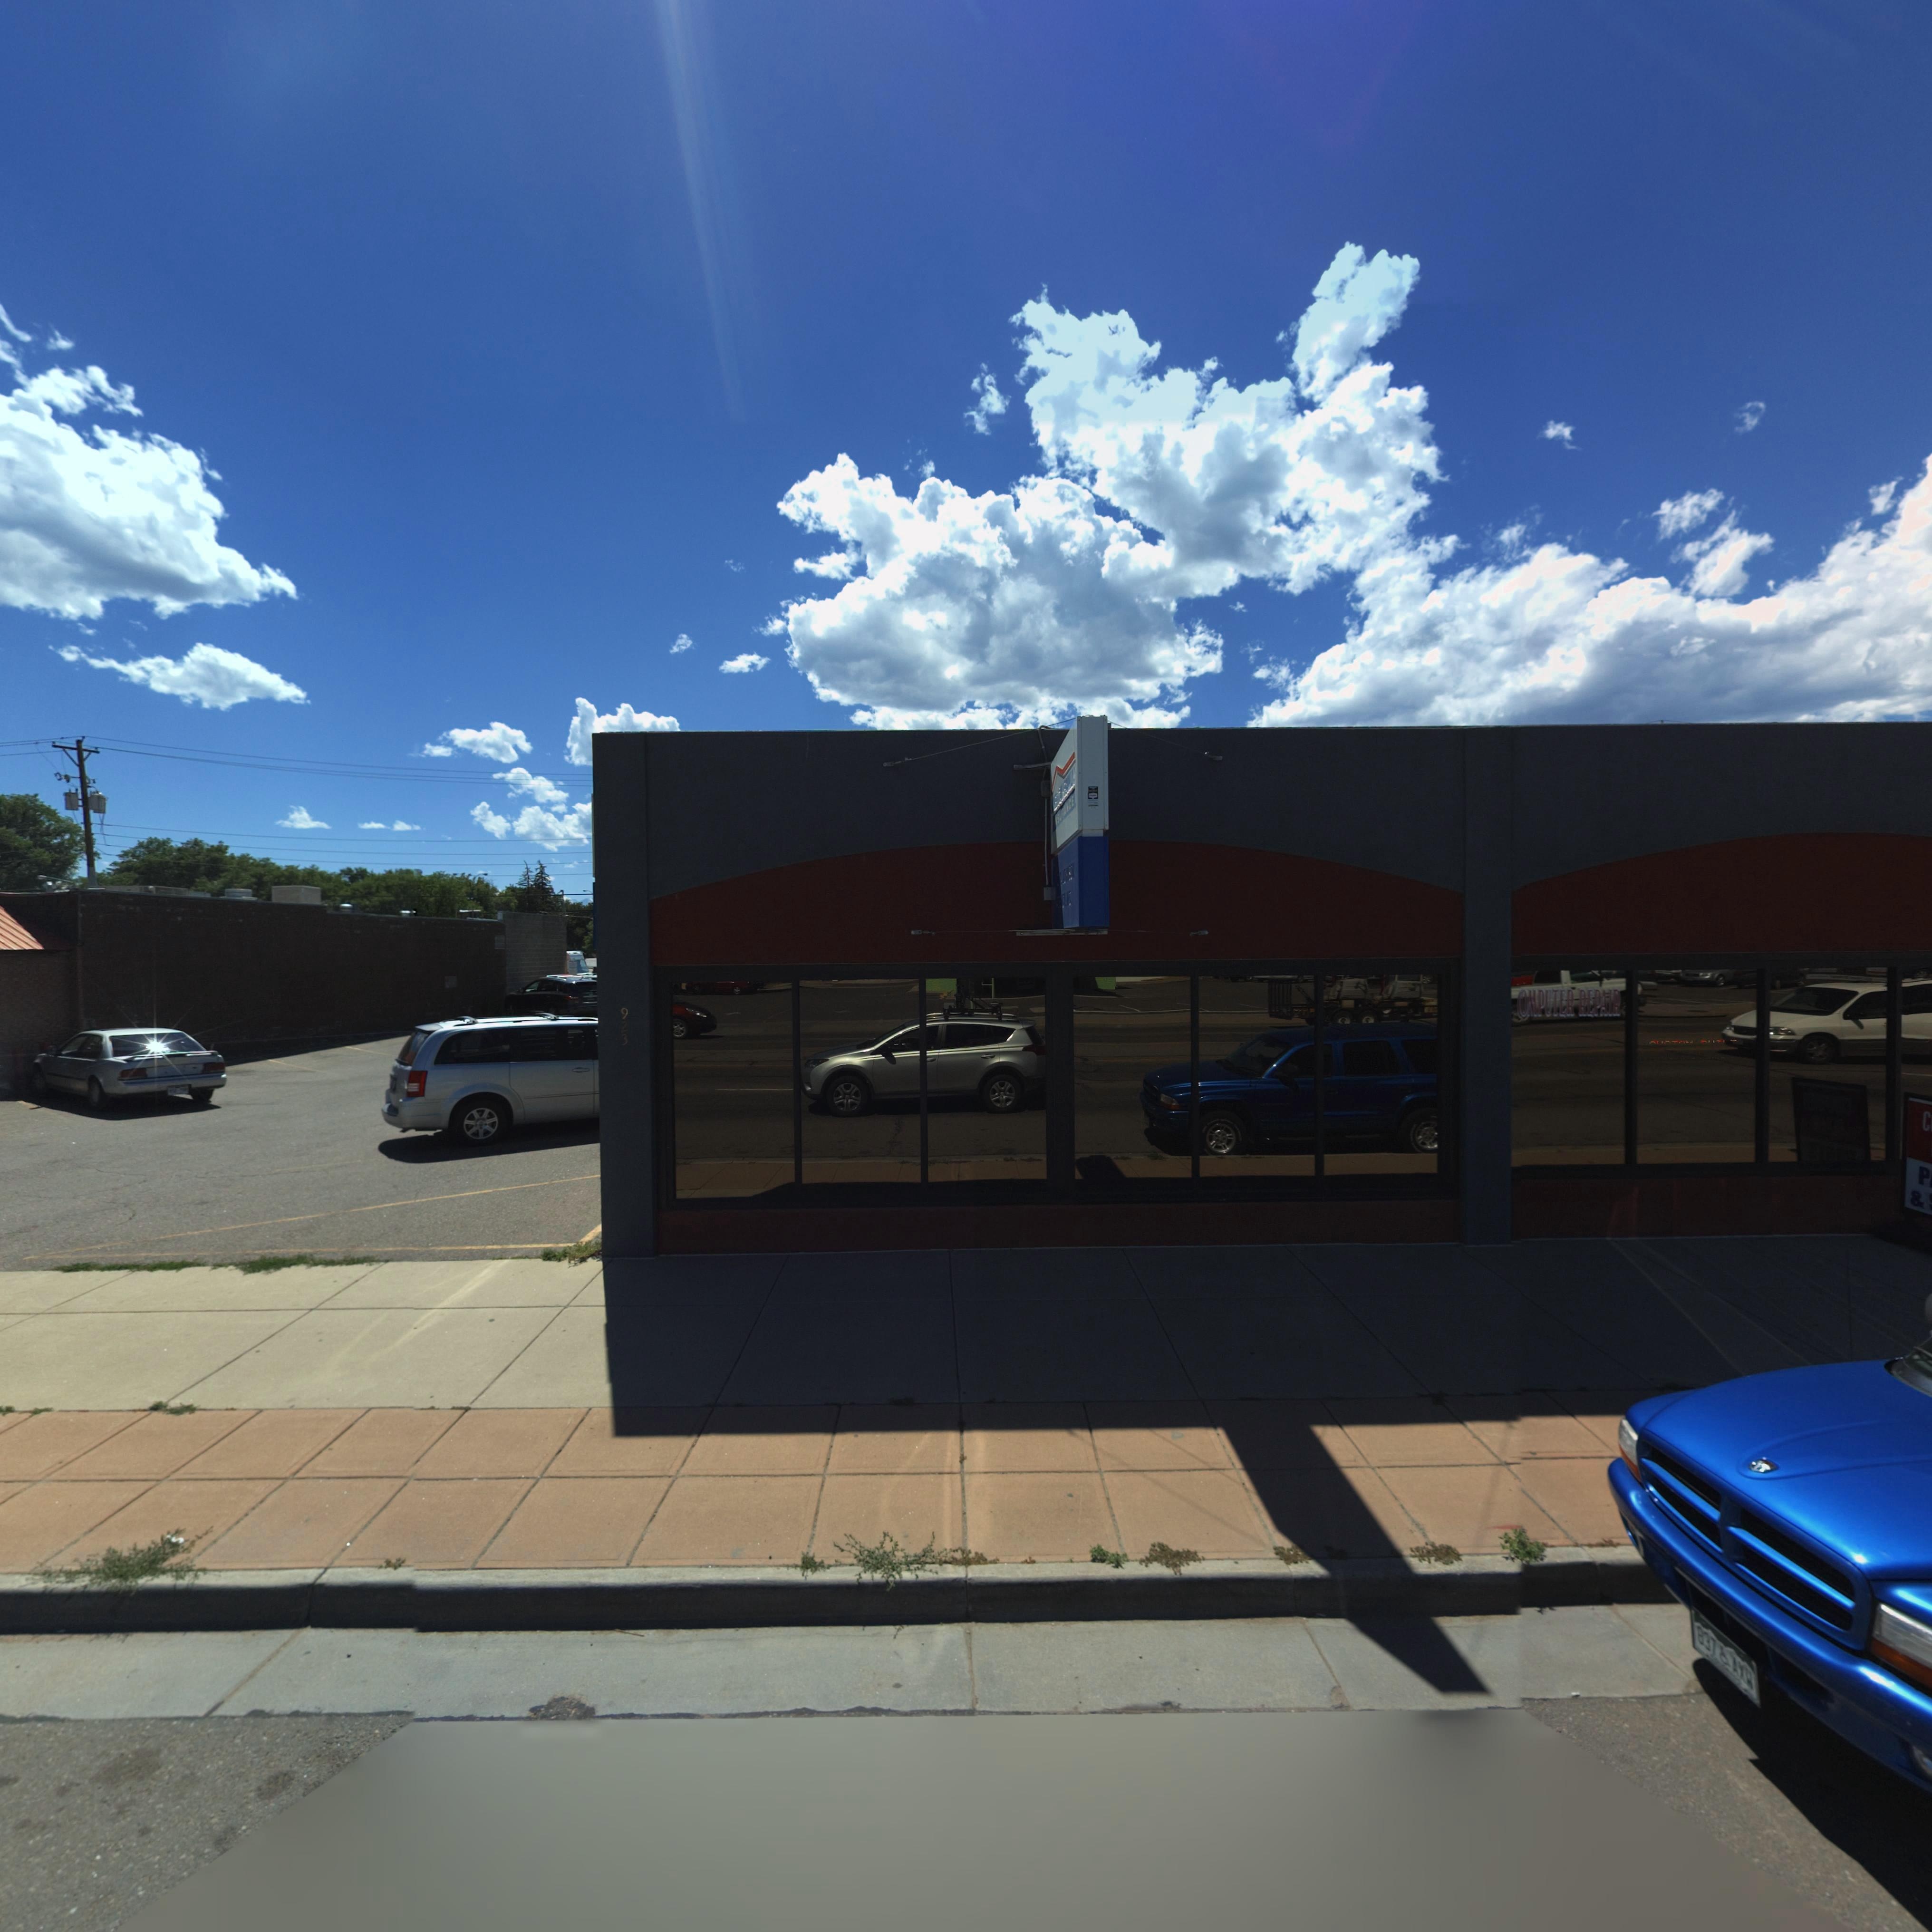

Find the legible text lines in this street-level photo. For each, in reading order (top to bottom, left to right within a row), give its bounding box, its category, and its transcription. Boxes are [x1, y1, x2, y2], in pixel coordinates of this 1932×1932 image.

[1052, 765, 1075, 812] BusinessName: ******** ****LY
[1053, 793, 1074, 828] BusinessName: **SU***CE
[620, 1007, 628, 1046] StreetNumber: 923